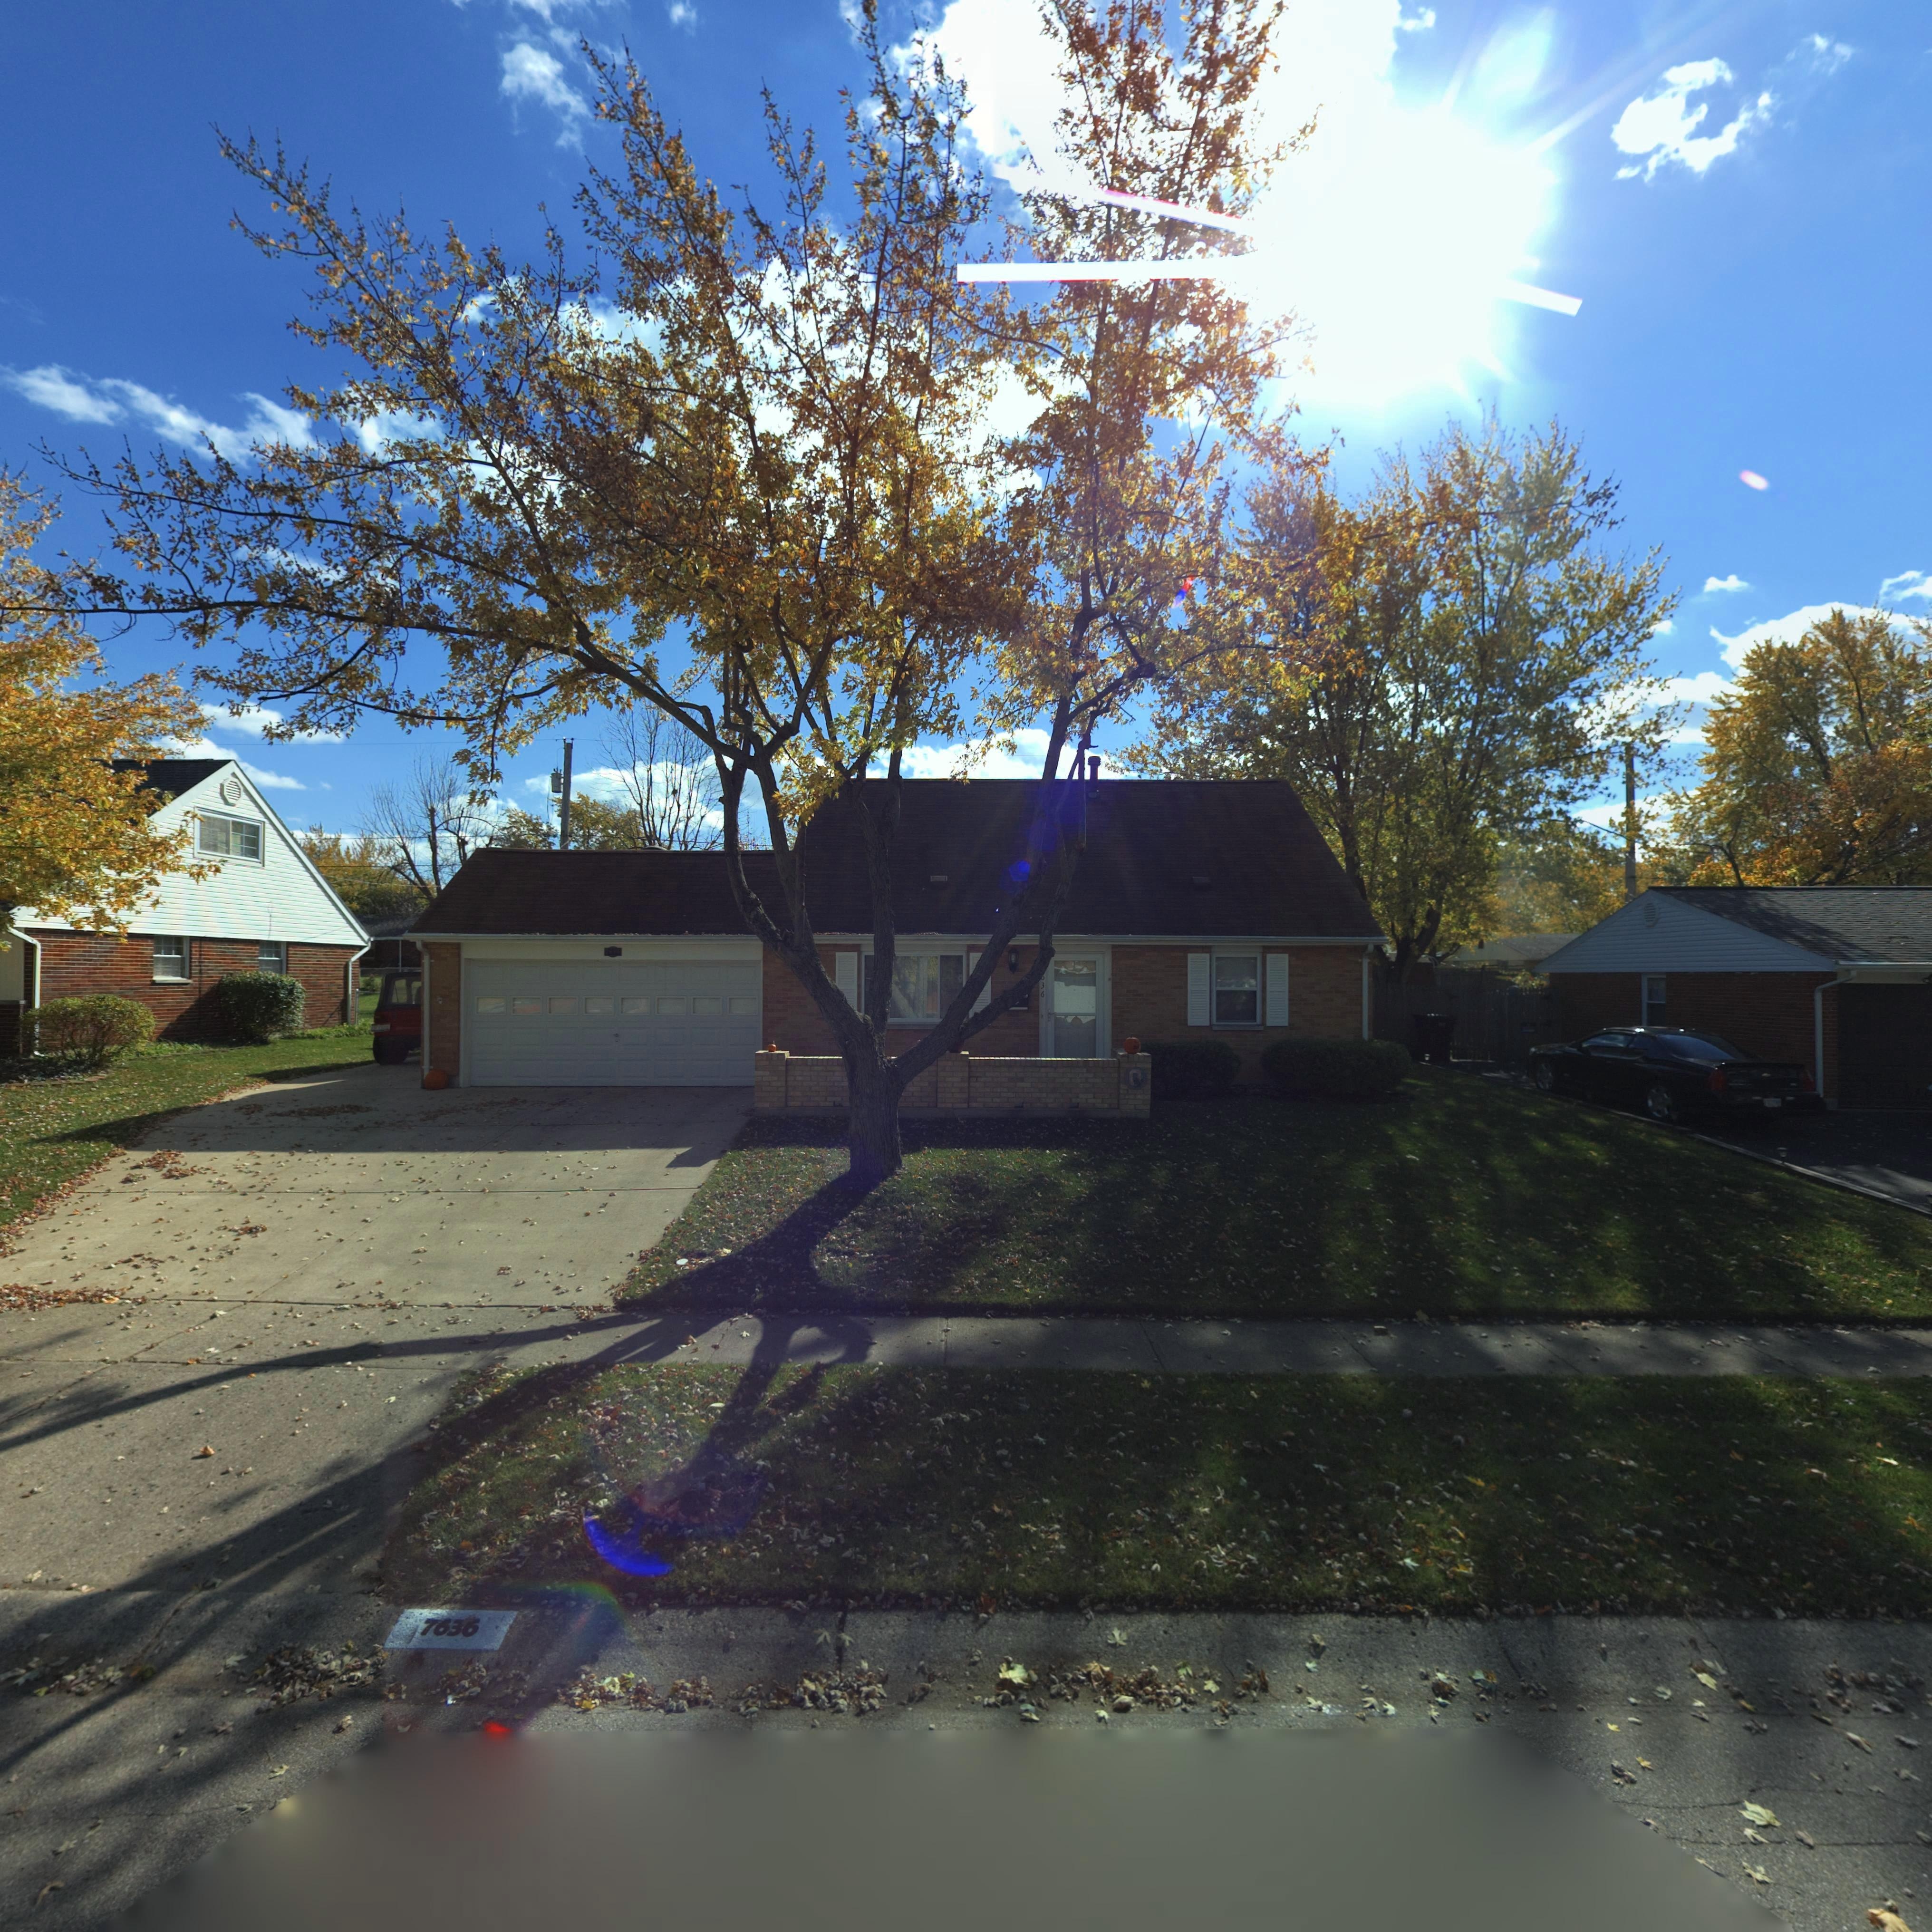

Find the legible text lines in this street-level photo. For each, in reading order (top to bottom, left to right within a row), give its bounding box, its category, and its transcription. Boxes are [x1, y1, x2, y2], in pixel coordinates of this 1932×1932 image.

[605, 948, 621, 956] StreetNumber: 7636
[1040, 981, 1045, 998] StreetNumber: 36
[418, 1617, 482, 1638] StreetNumber: 7636